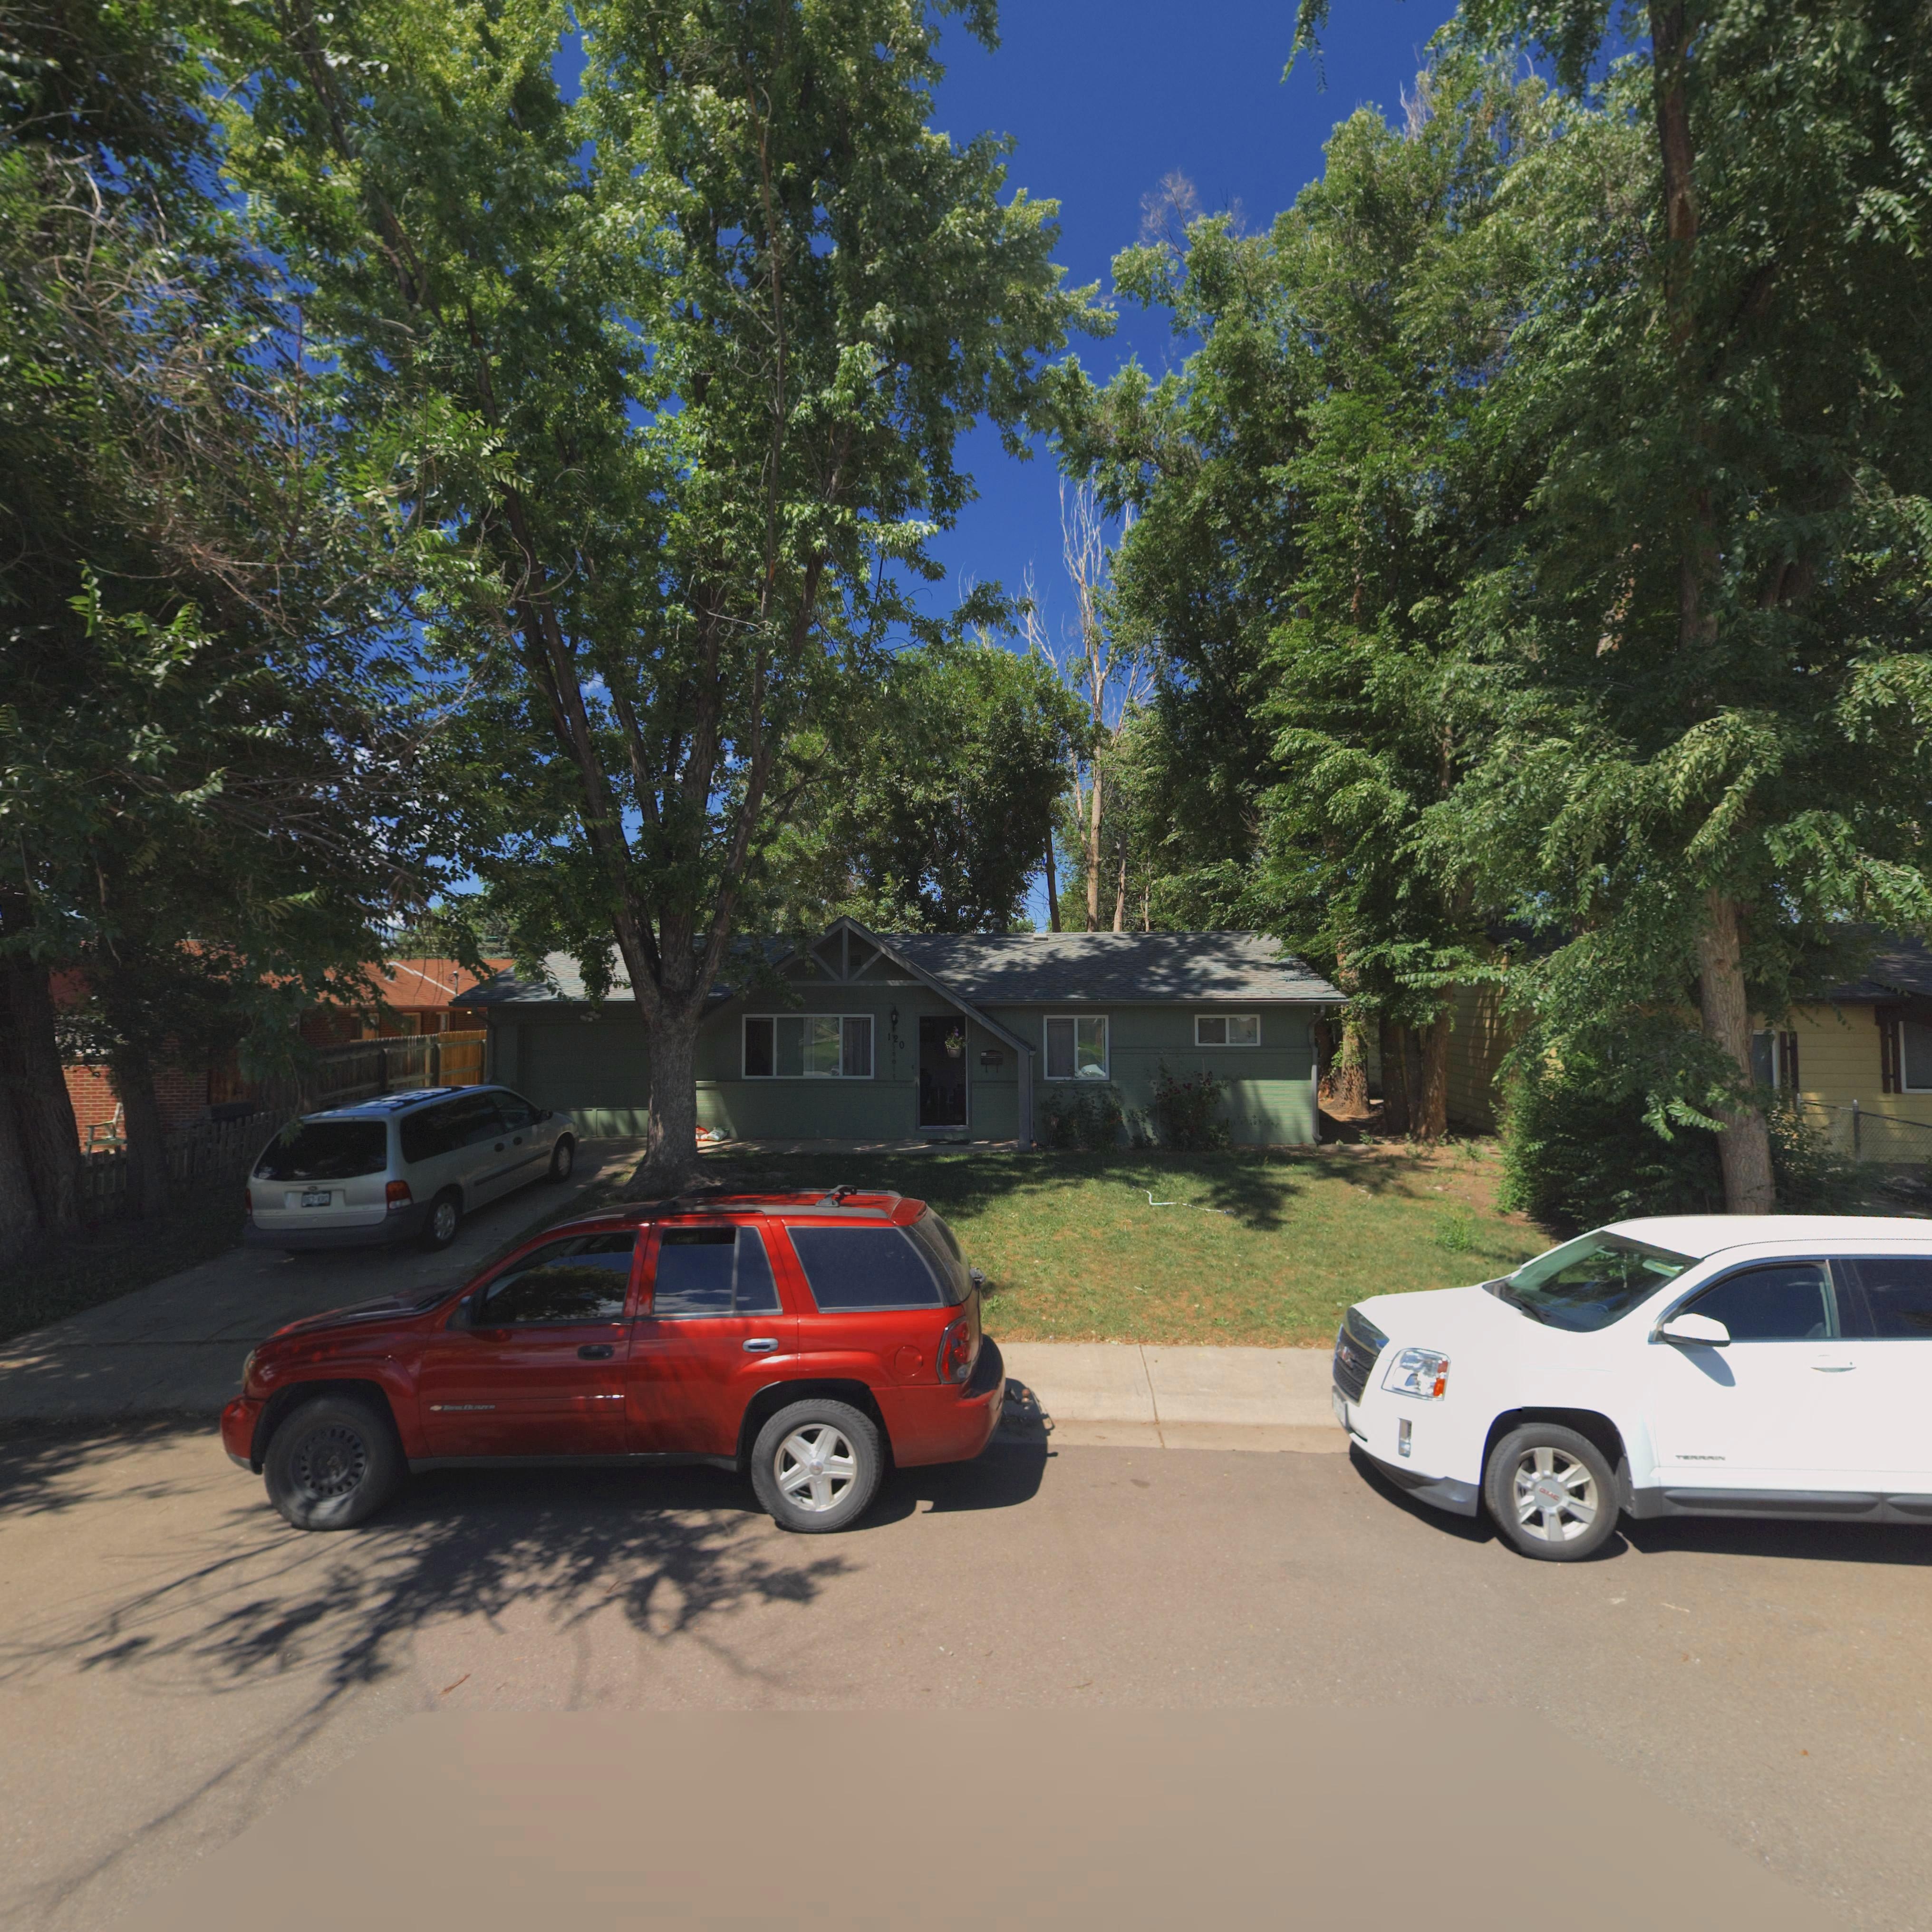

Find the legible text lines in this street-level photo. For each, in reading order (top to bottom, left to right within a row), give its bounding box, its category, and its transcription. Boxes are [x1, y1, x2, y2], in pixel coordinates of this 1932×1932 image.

[888, 1033, 904, 1050] StreetNumber: 120